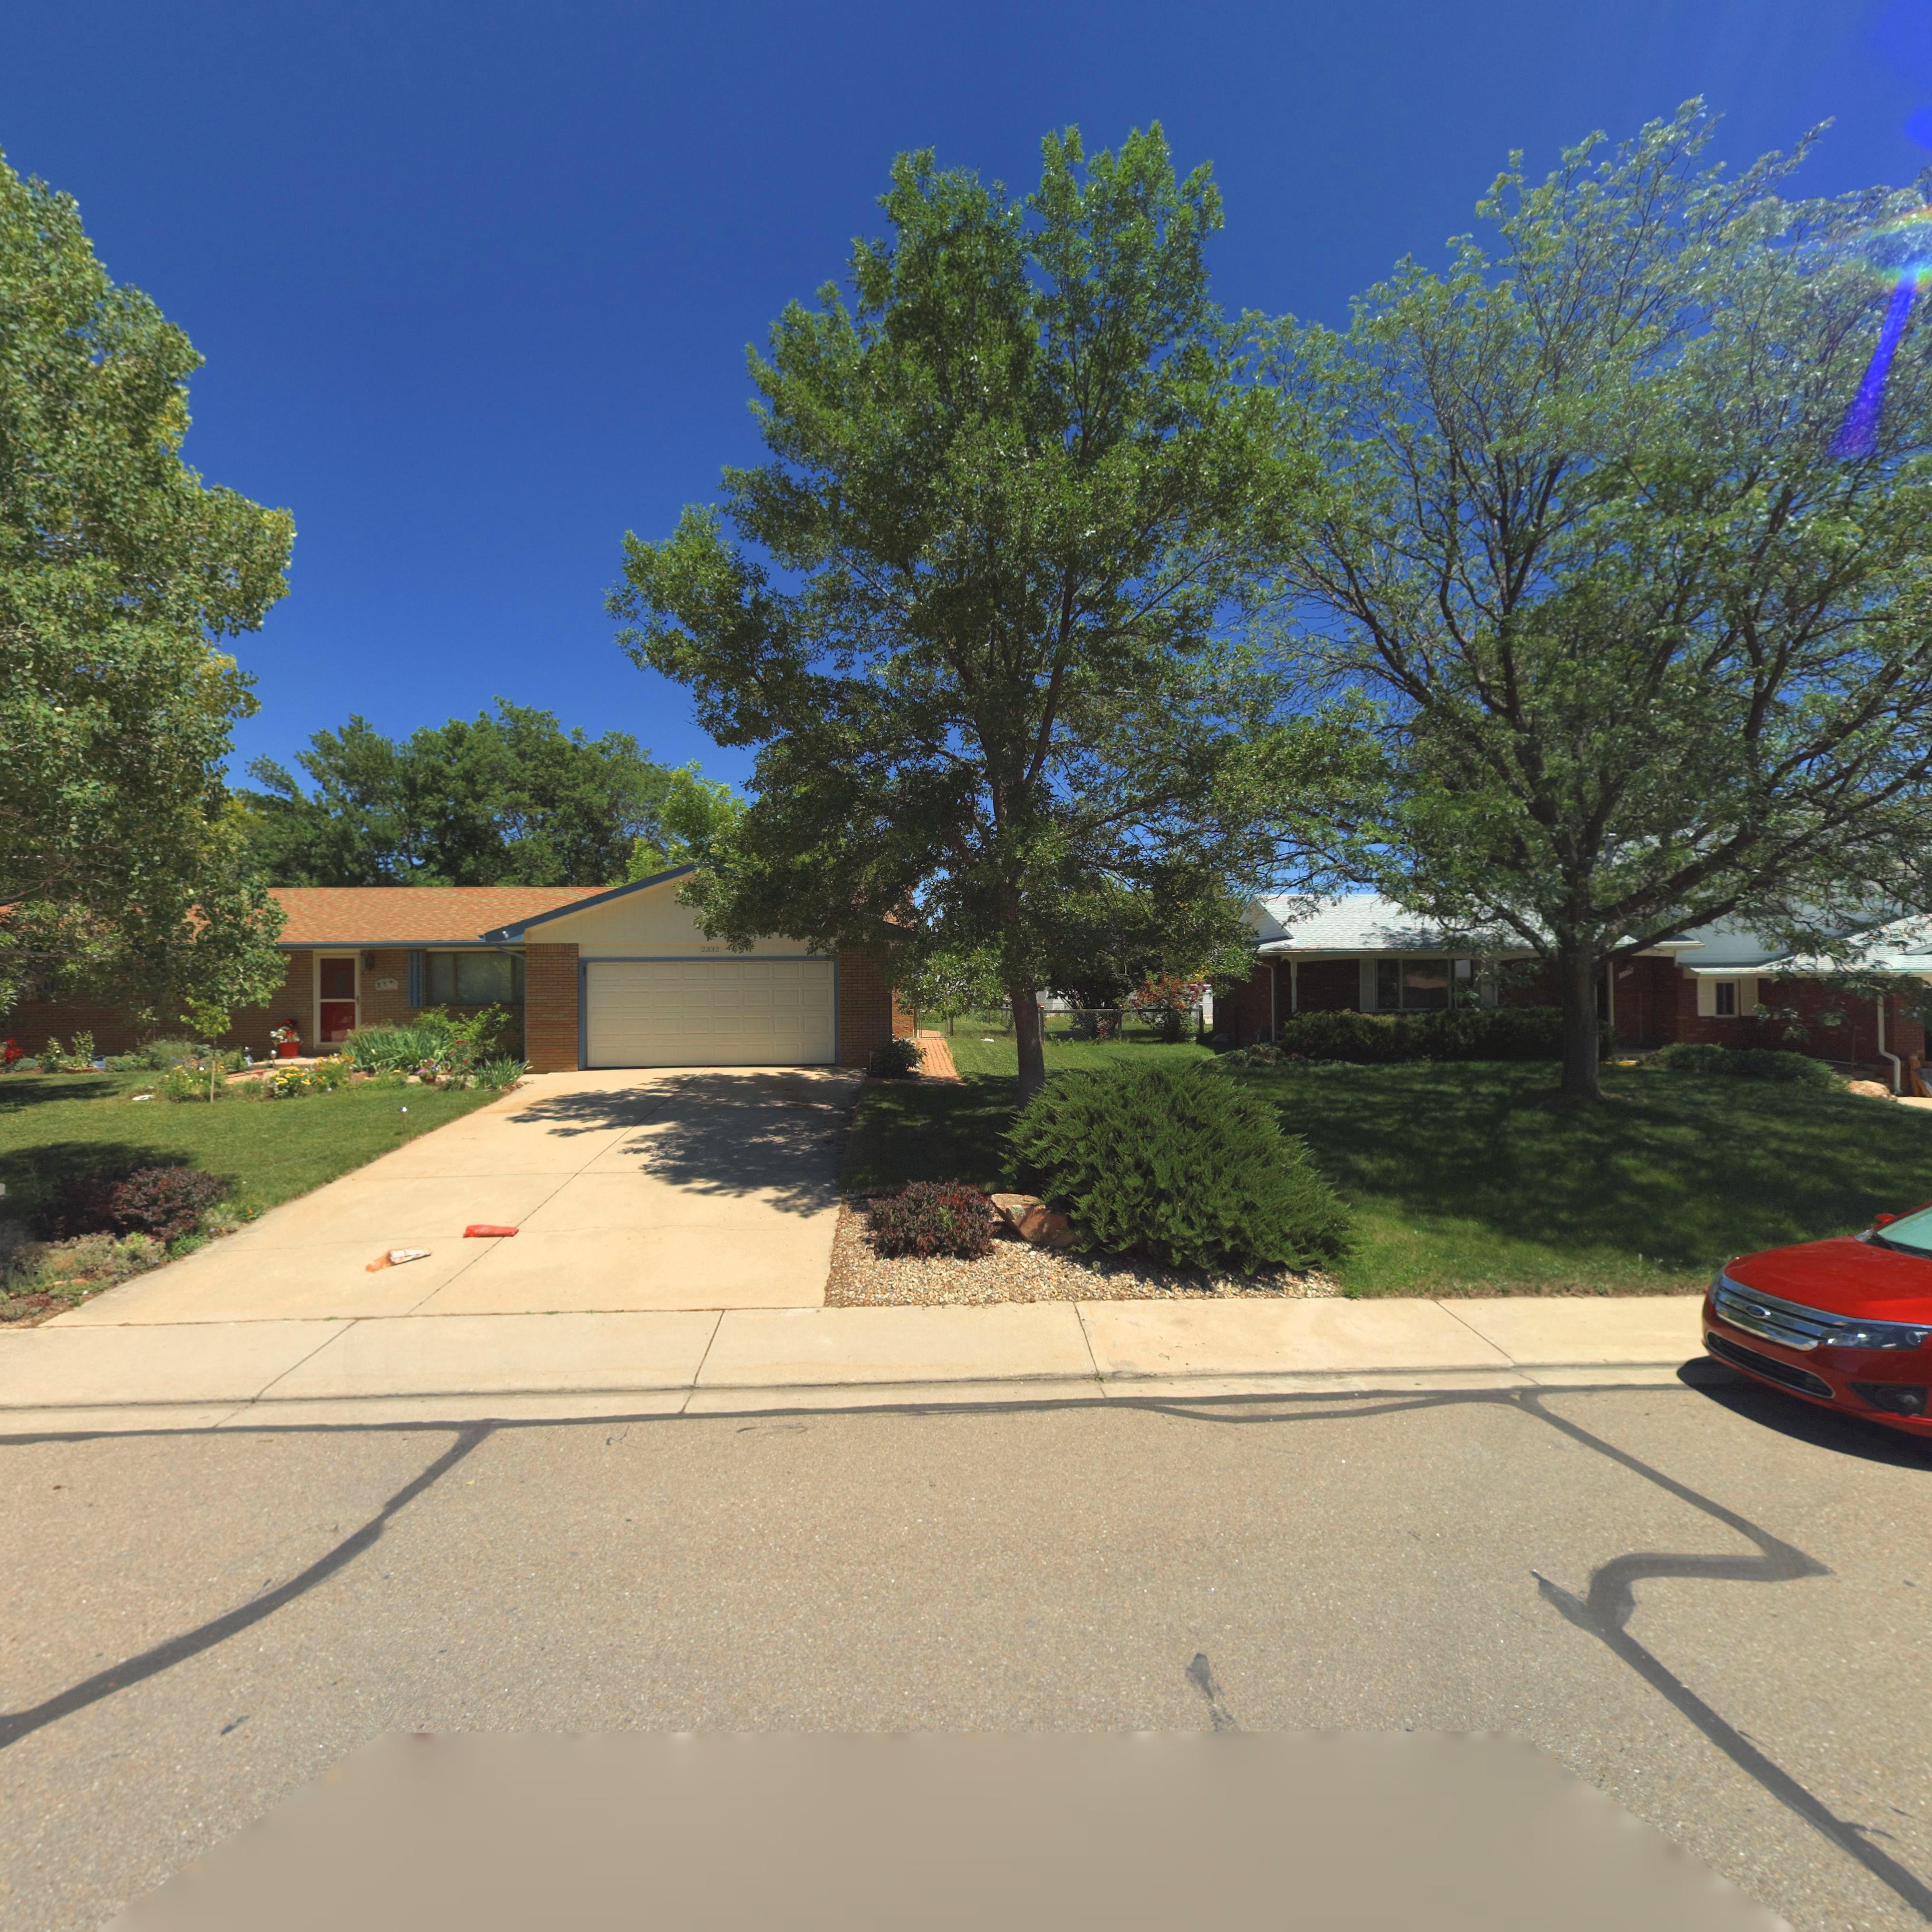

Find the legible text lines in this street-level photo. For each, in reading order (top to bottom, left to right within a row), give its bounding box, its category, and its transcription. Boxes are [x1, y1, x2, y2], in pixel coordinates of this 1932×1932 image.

[701, 946, 719, 952] StreetNumber: 2332
[1620, 967, 1633, 978] StreetNumber: 2***